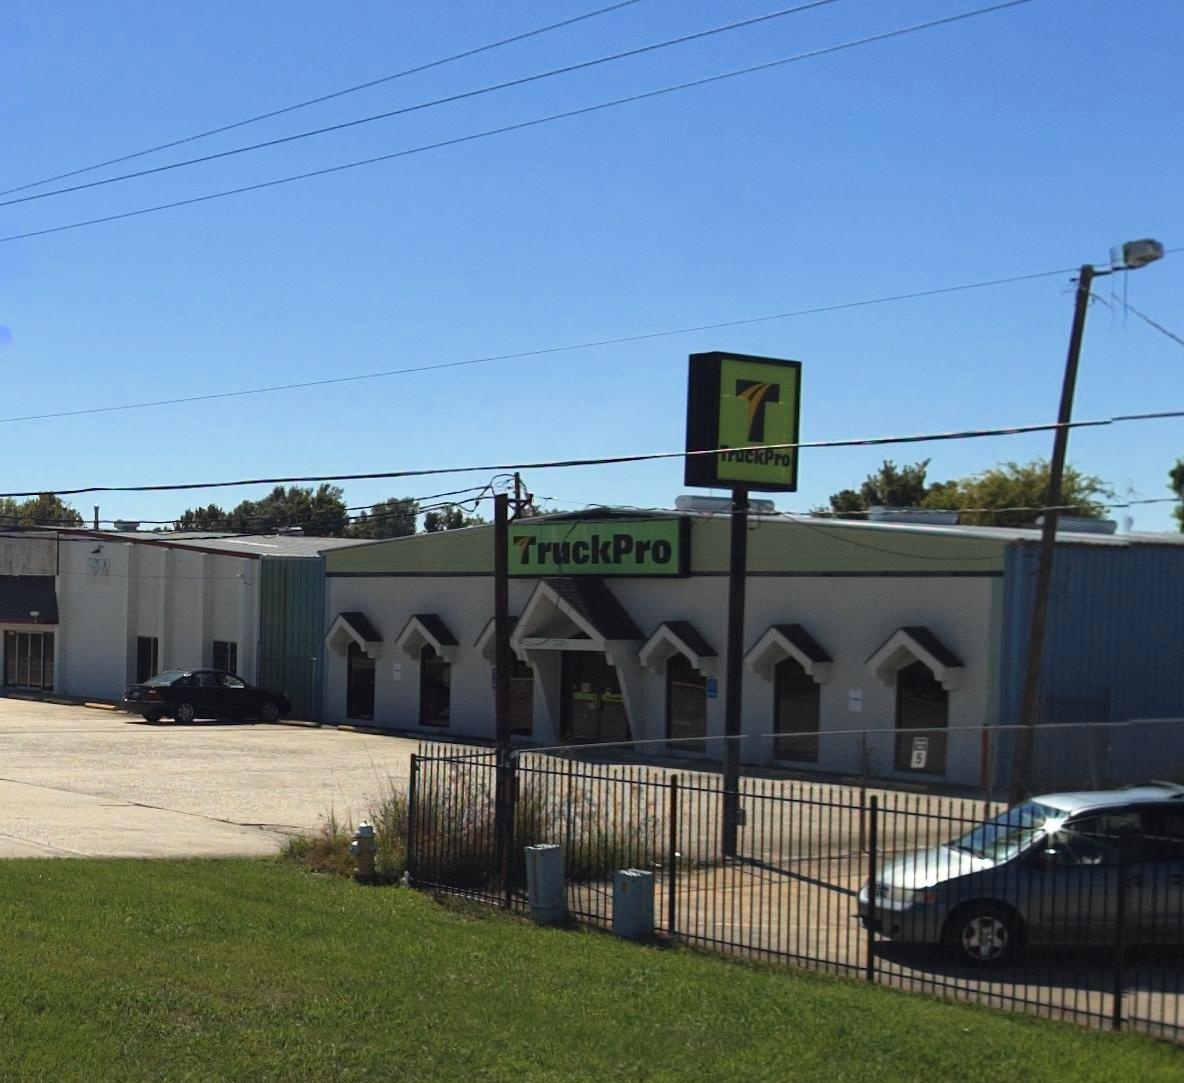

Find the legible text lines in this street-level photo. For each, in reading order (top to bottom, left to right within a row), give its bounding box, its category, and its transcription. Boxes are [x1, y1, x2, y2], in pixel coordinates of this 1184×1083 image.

[732, 376, 782, 446] BusinessName: T
[718, 441, 792, 469] BusinessName: **uckPro
[511, 532, 674, 566] BusinessName: TruckPro
[914, 751, 924, 767] None: 5